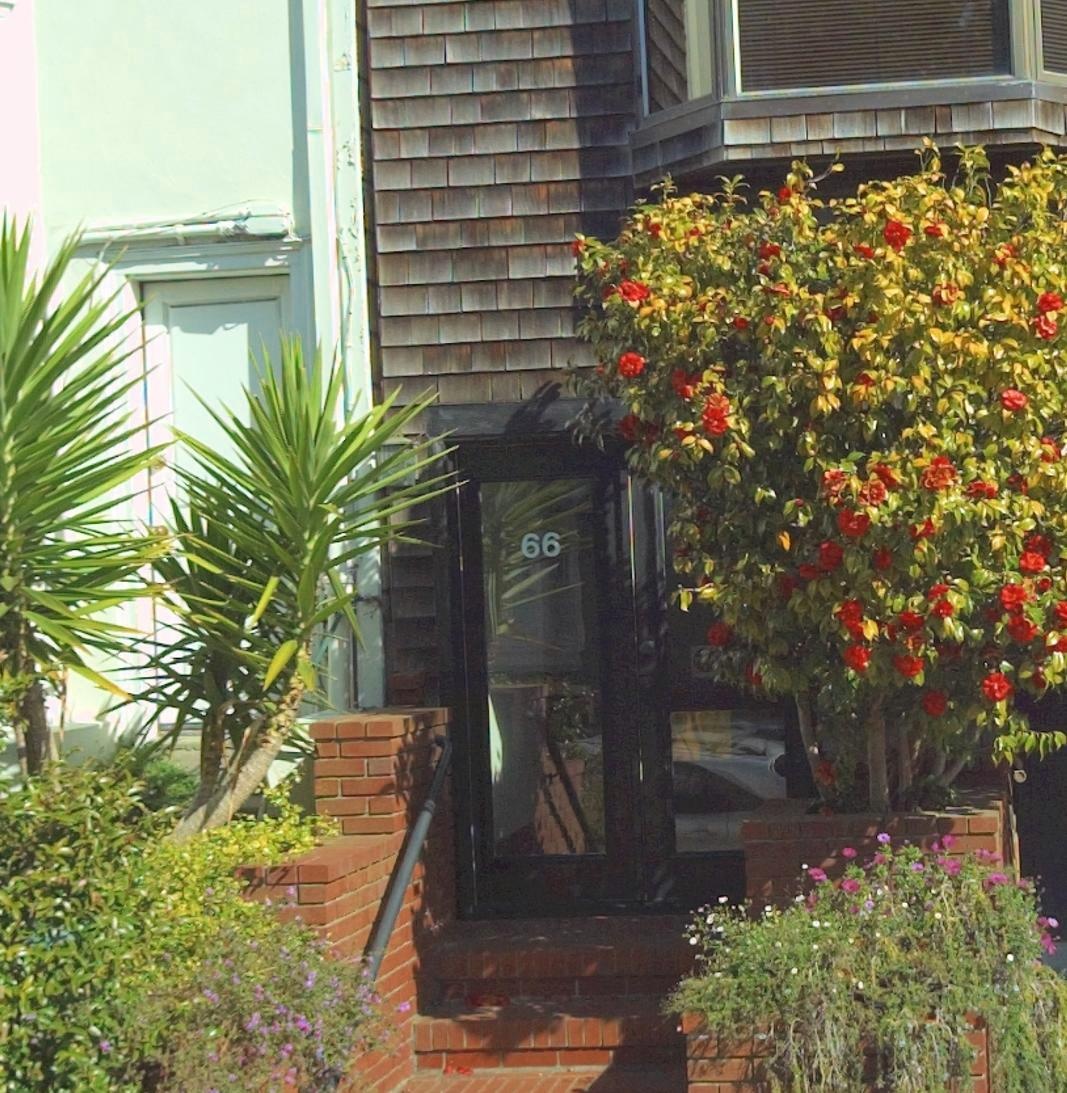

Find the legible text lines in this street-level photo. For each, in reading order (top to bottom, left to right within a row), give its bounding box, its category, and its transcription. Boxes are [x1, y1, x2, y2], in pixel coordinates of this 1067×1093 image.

[520, 531, 562, 559] StreetNumber: 66